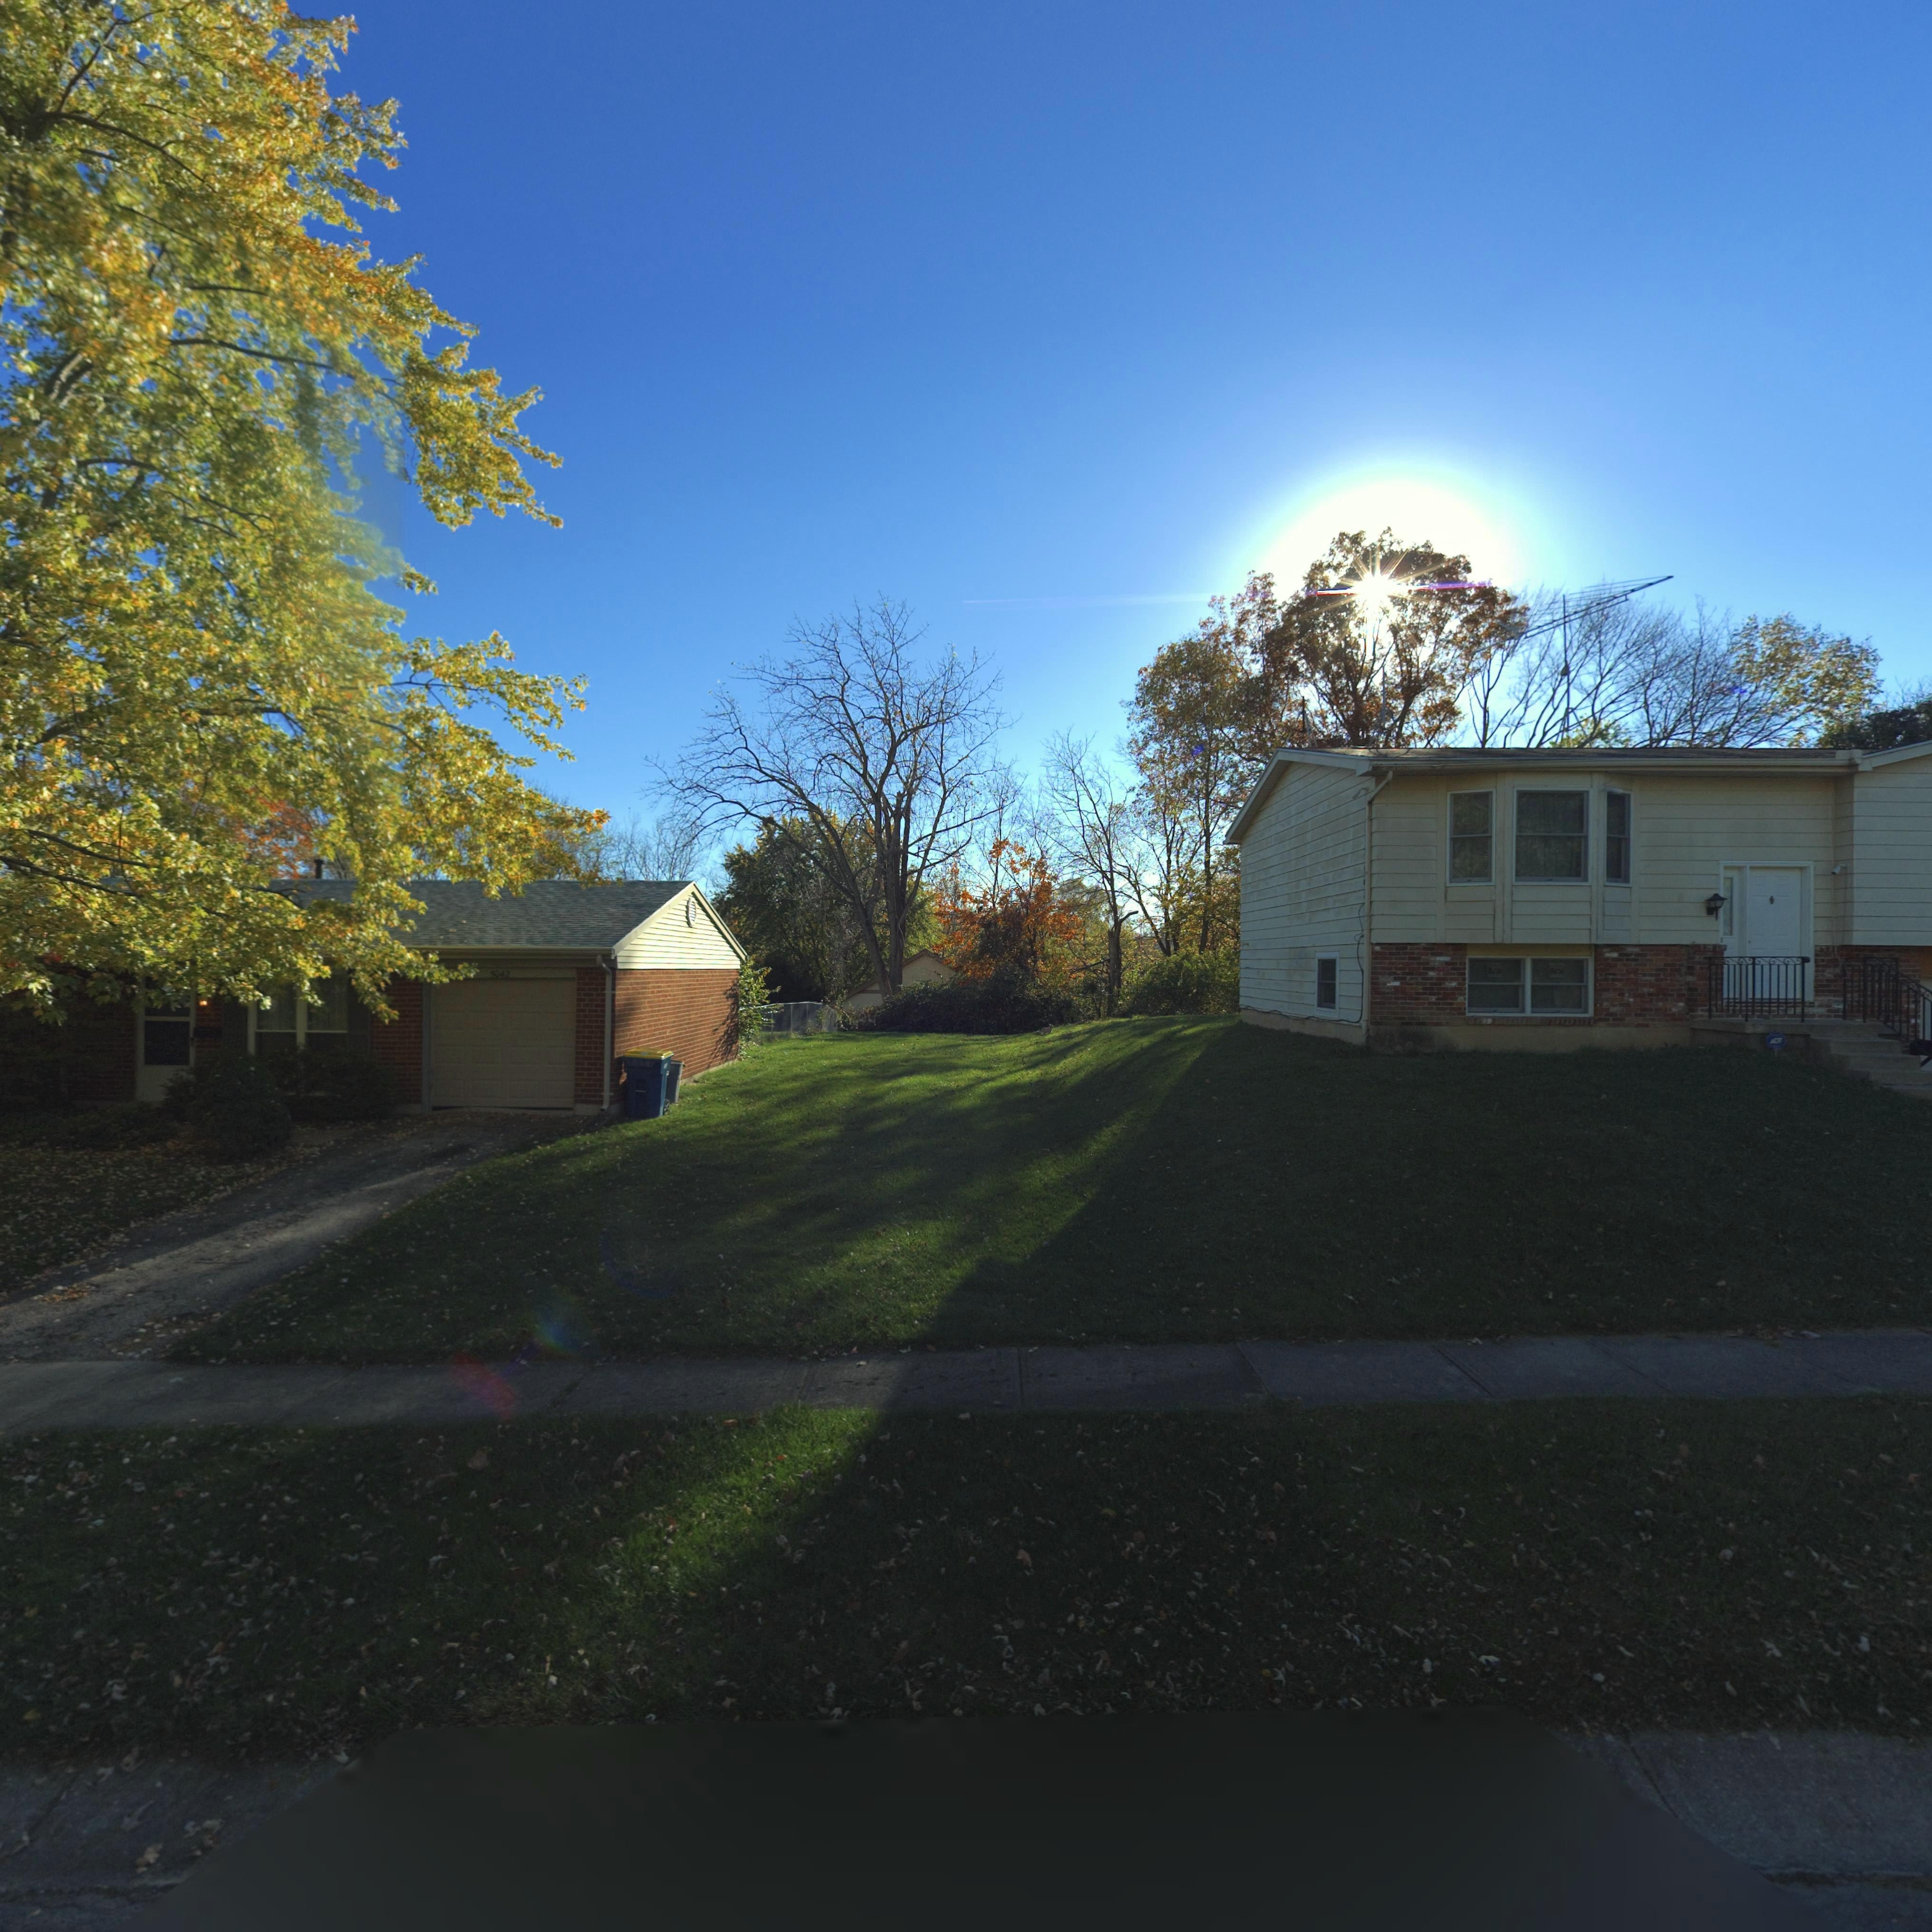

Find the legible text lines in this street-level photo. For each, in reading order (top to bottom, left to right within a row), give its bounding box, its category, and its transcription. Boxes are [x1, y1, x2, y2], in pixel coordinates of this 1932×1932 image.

[489, 970, 511, 979] StreetNumber: 5042